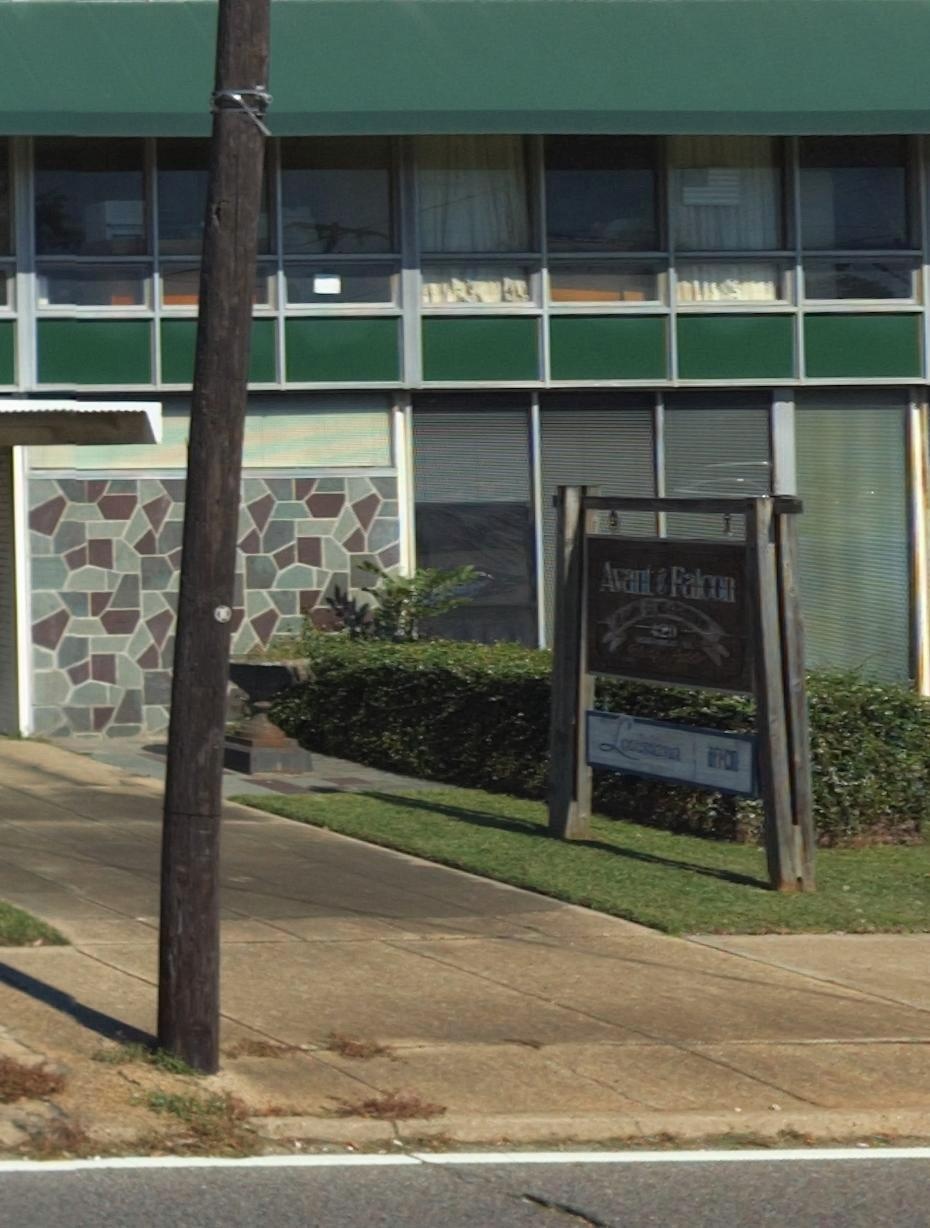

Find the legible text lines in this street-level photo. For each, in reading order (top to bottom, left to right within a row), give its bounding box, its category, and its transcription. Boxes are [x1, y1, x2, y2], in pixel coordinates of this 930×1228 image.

[595, 557, 739, 606] BusinessName: Avant & Falcon
[594, 711, 636, 761] None: L